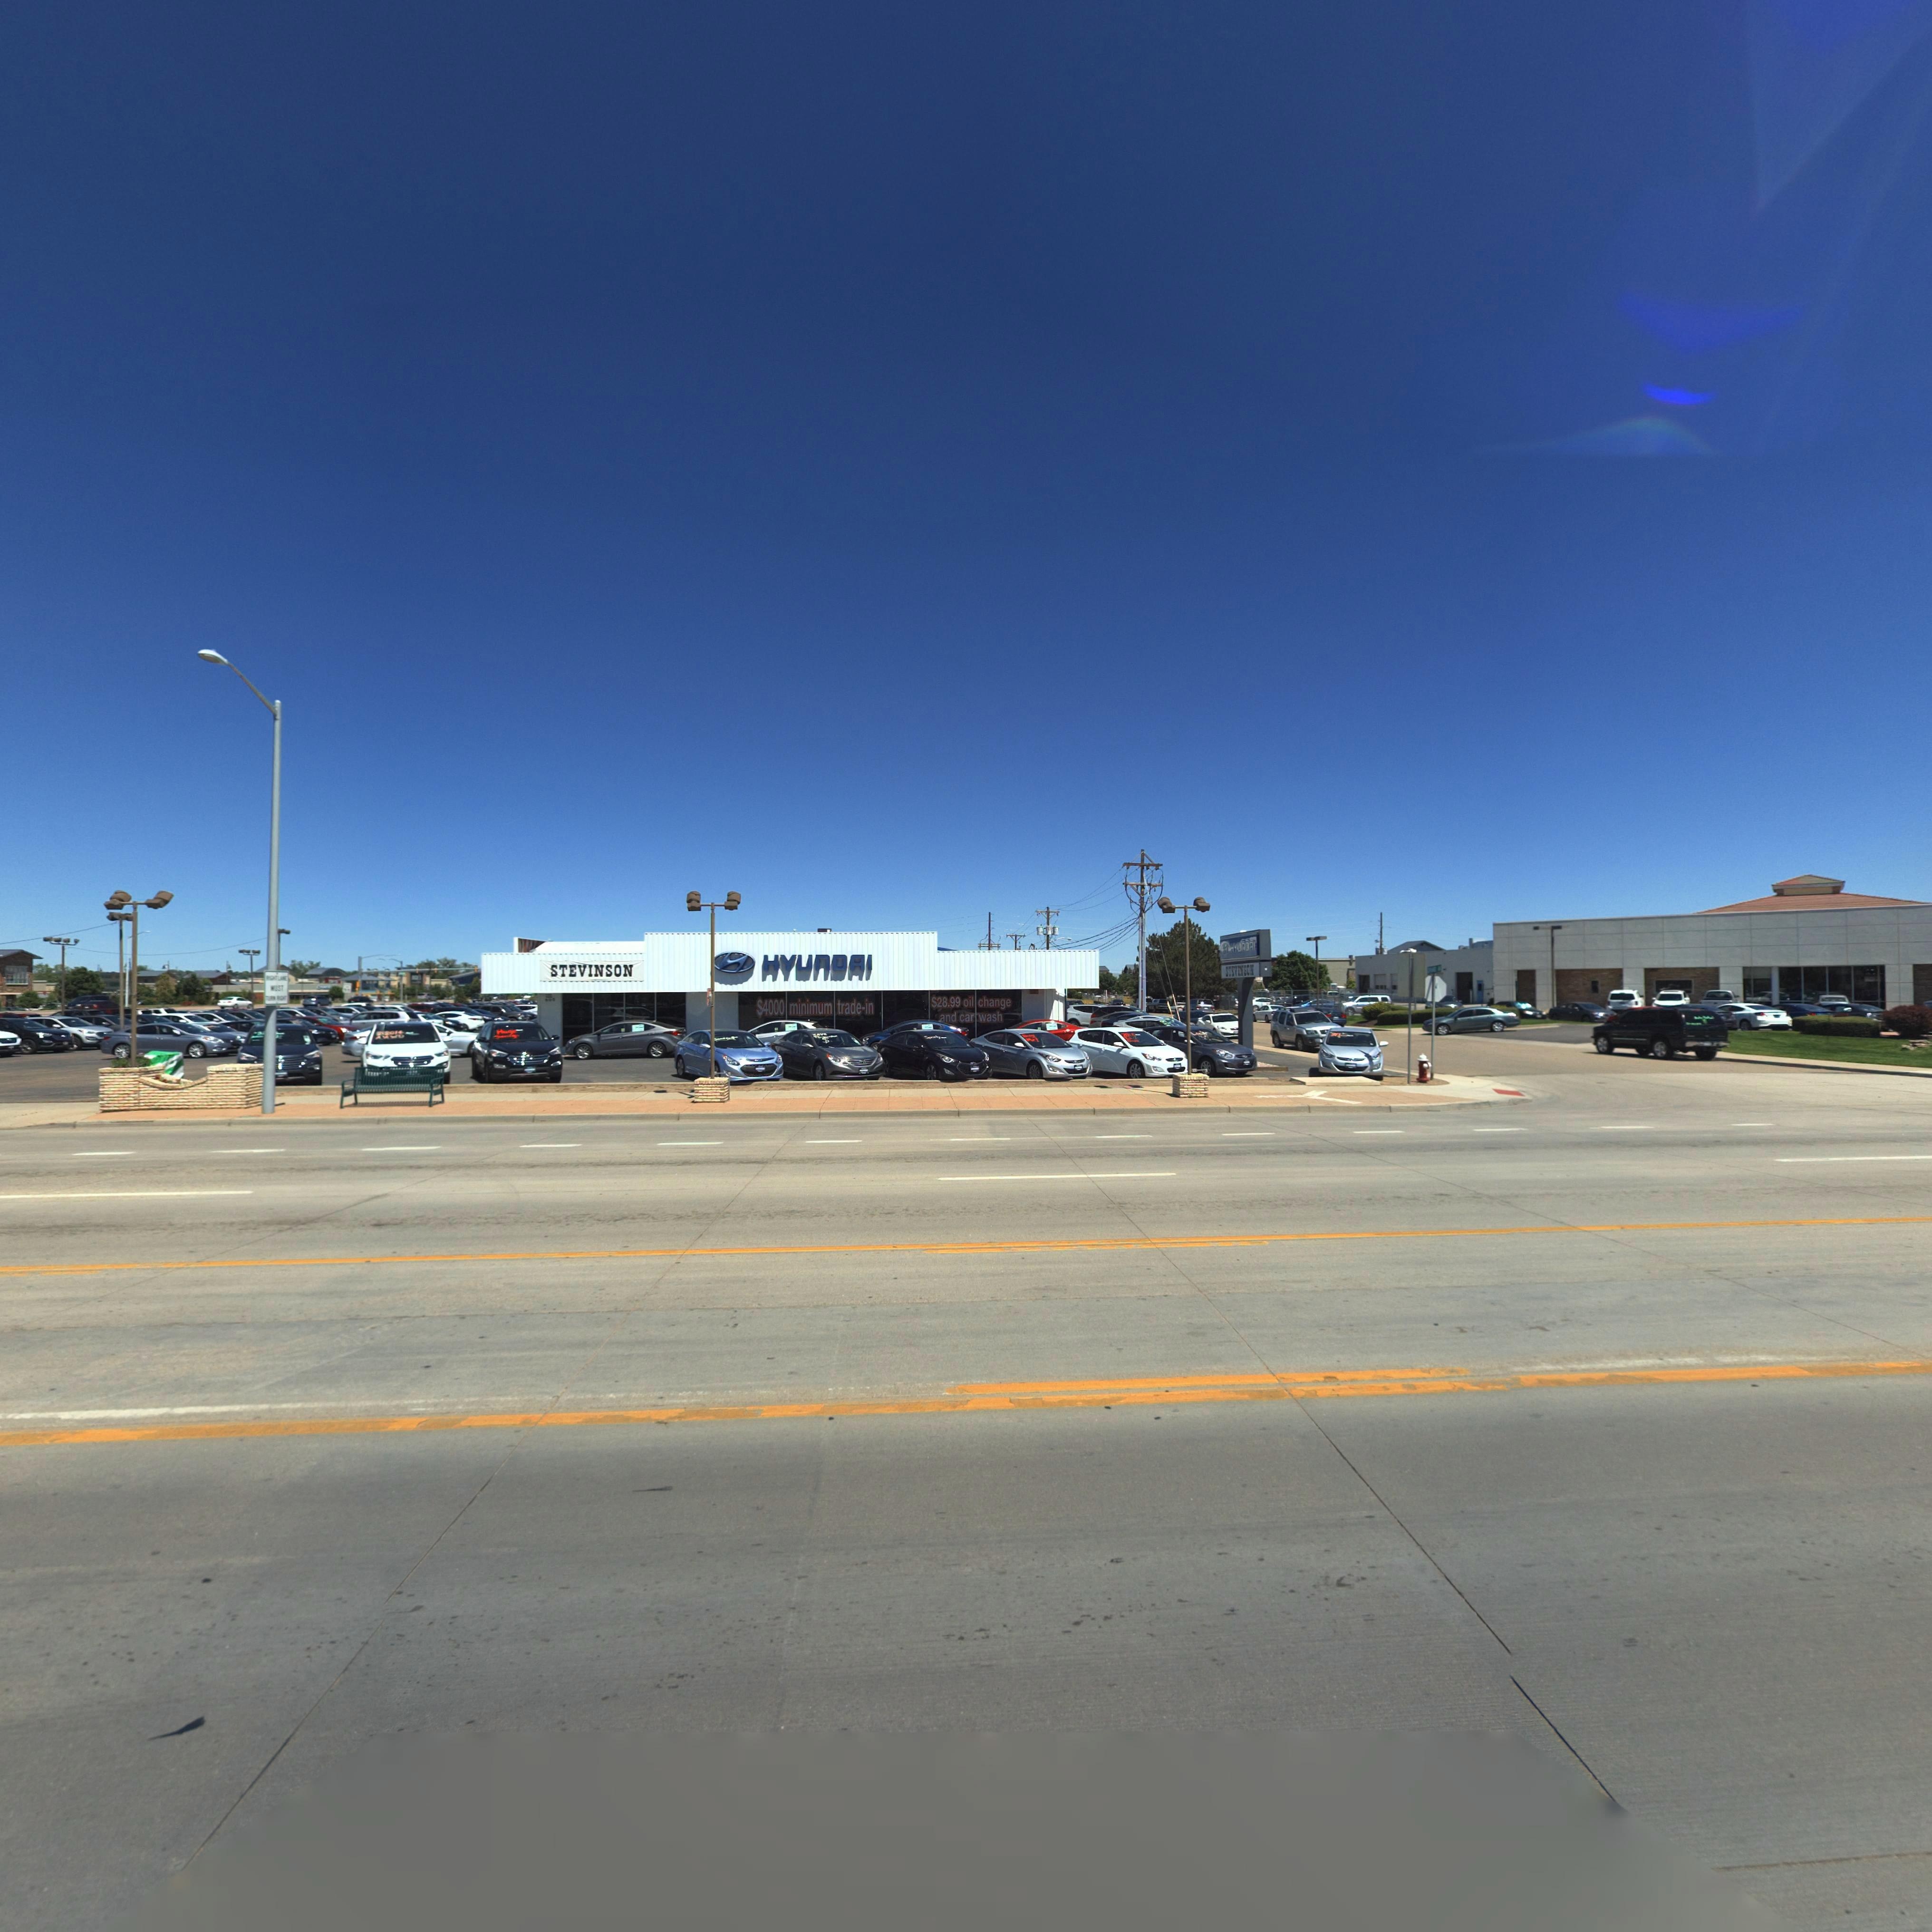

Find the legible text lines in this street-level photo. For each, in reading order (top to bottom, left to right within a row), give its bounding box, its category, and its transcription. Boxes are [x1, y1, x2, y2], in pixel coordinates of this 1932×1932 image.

[1229, 940, 1256, 953] BusinessName: HYUnDAI
[762, 953, 873, 971] BusinessName: HYUnDAI
[550, 963, 634, 977] BusinessName: STEVINSON
[1225, 963, 1255, 978] BusinessName: ST**IN*ON